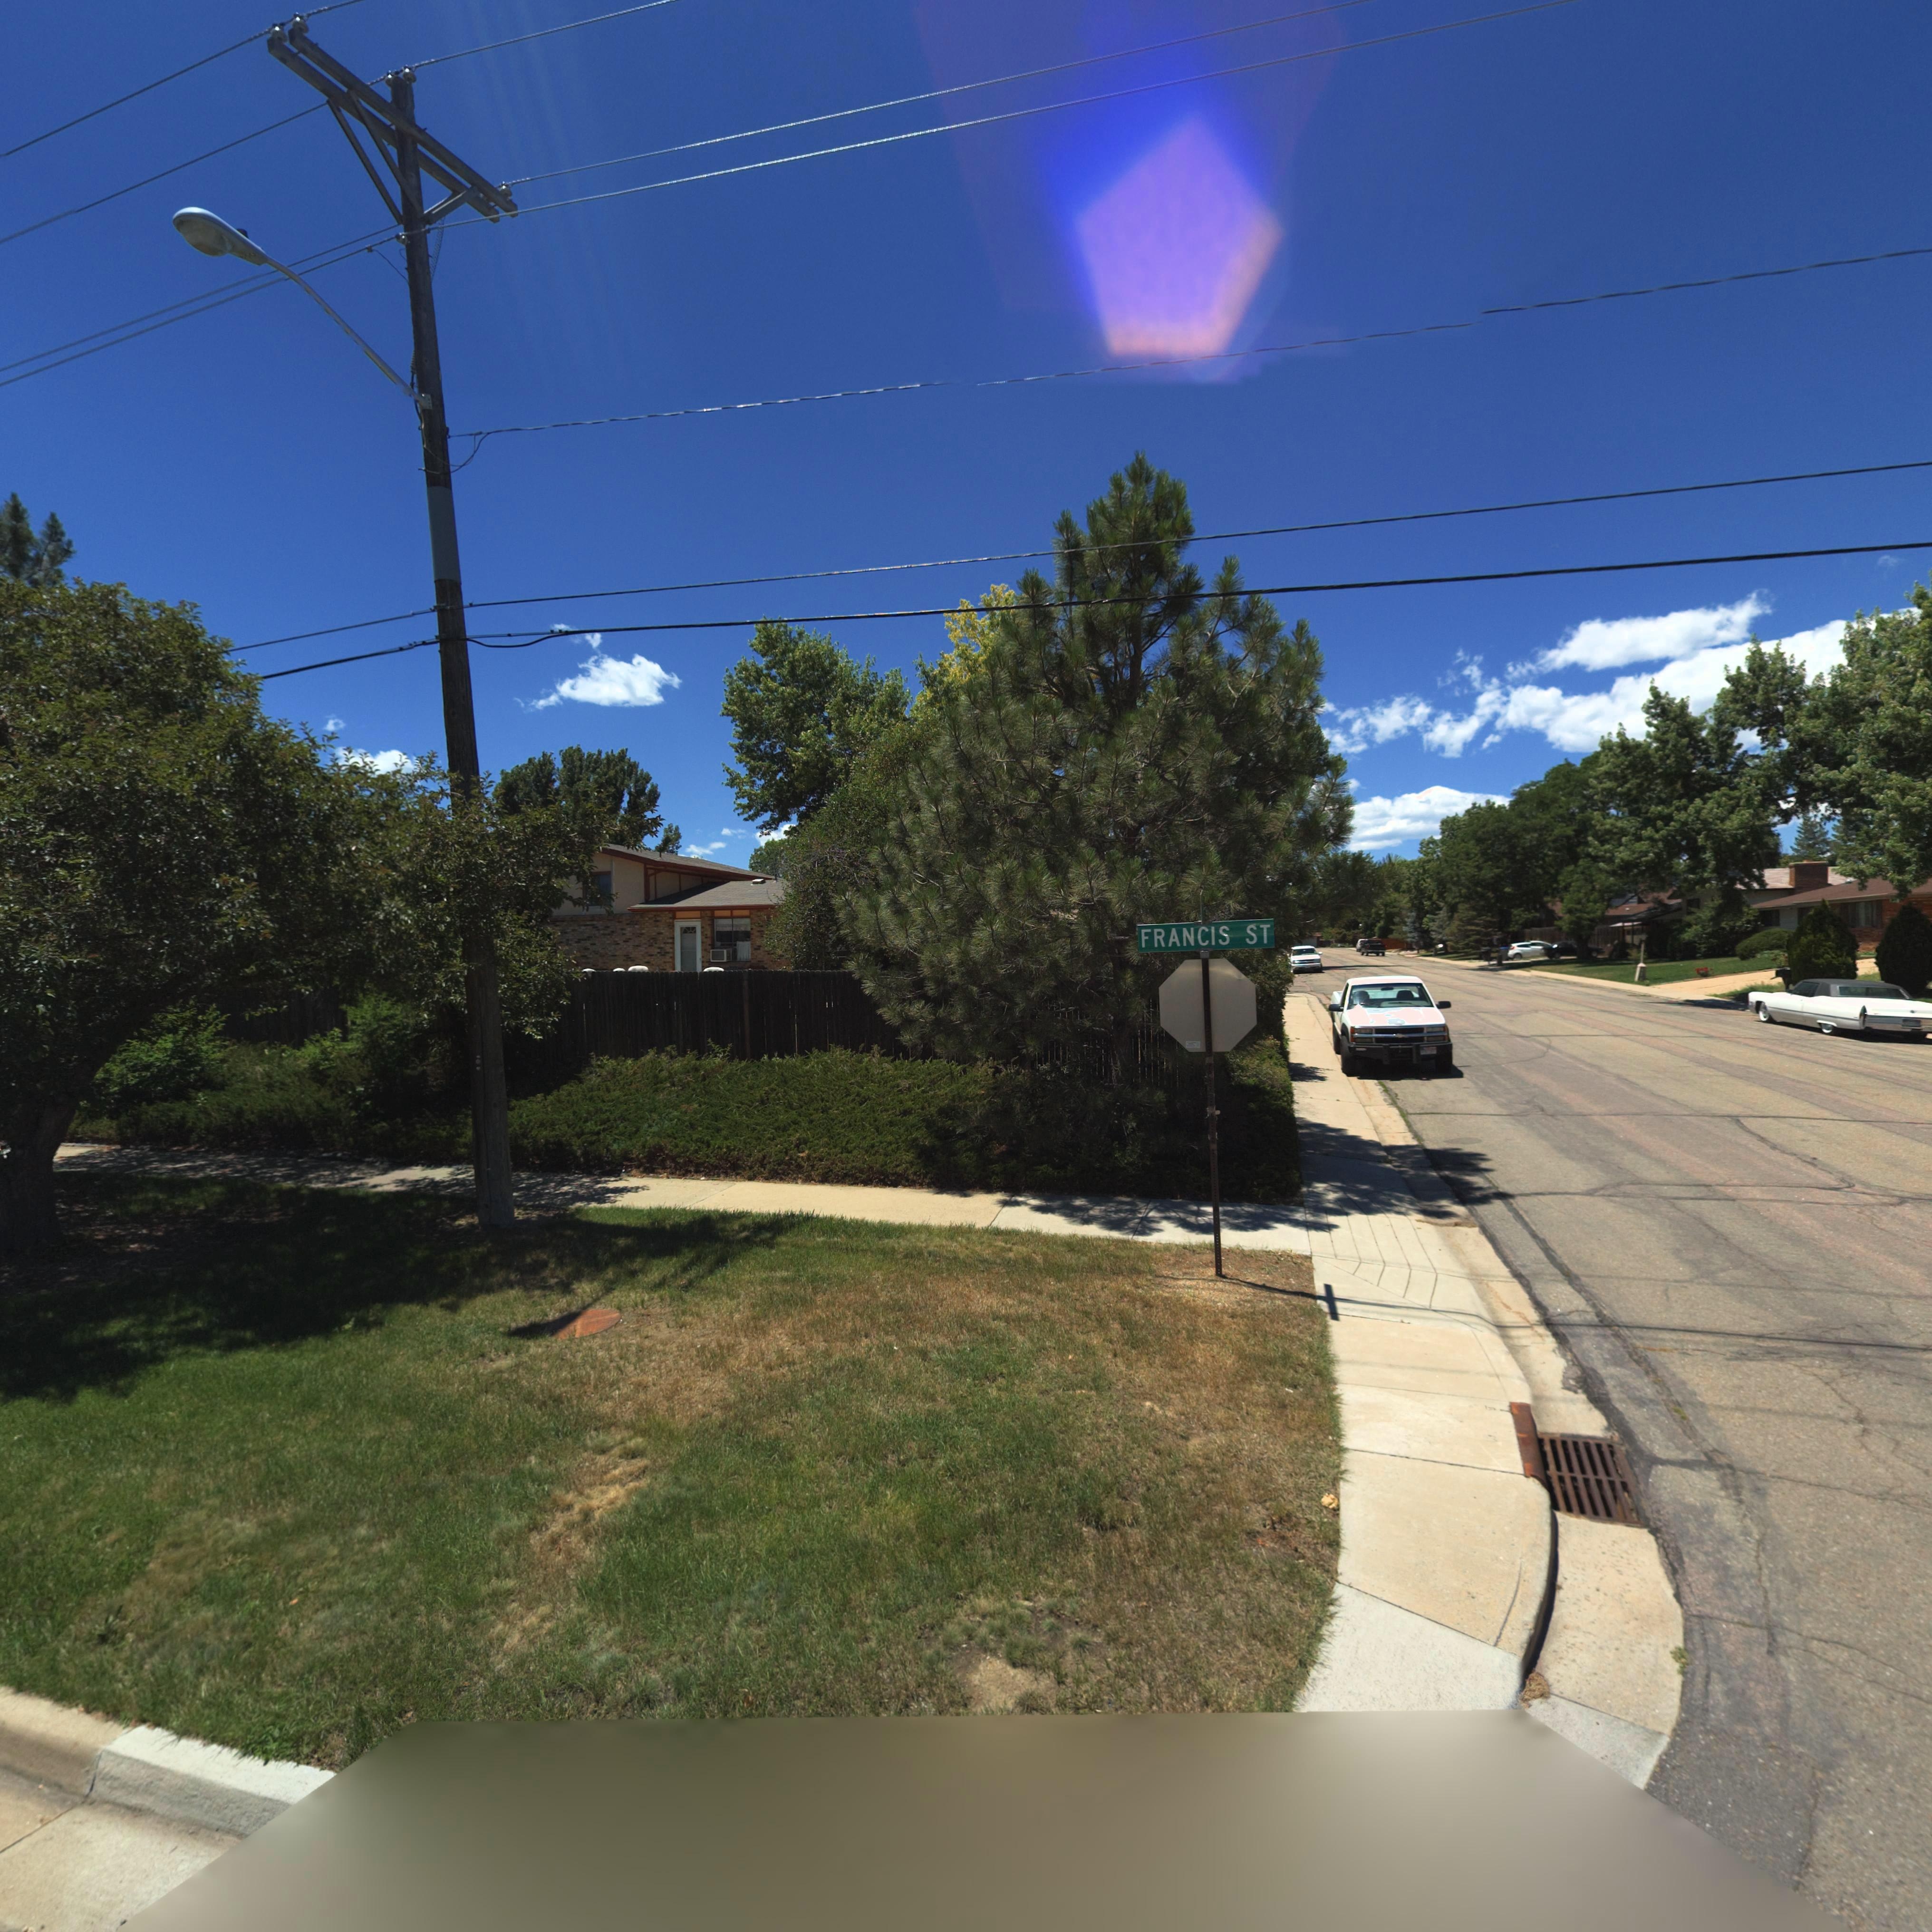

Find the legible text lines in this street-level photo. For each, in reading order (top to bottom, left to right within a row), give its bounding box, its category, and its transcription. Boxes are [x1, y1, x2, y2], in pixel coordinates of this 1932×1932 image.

[1140, 923, 1271, 948] StreetName: FRANCIS ST